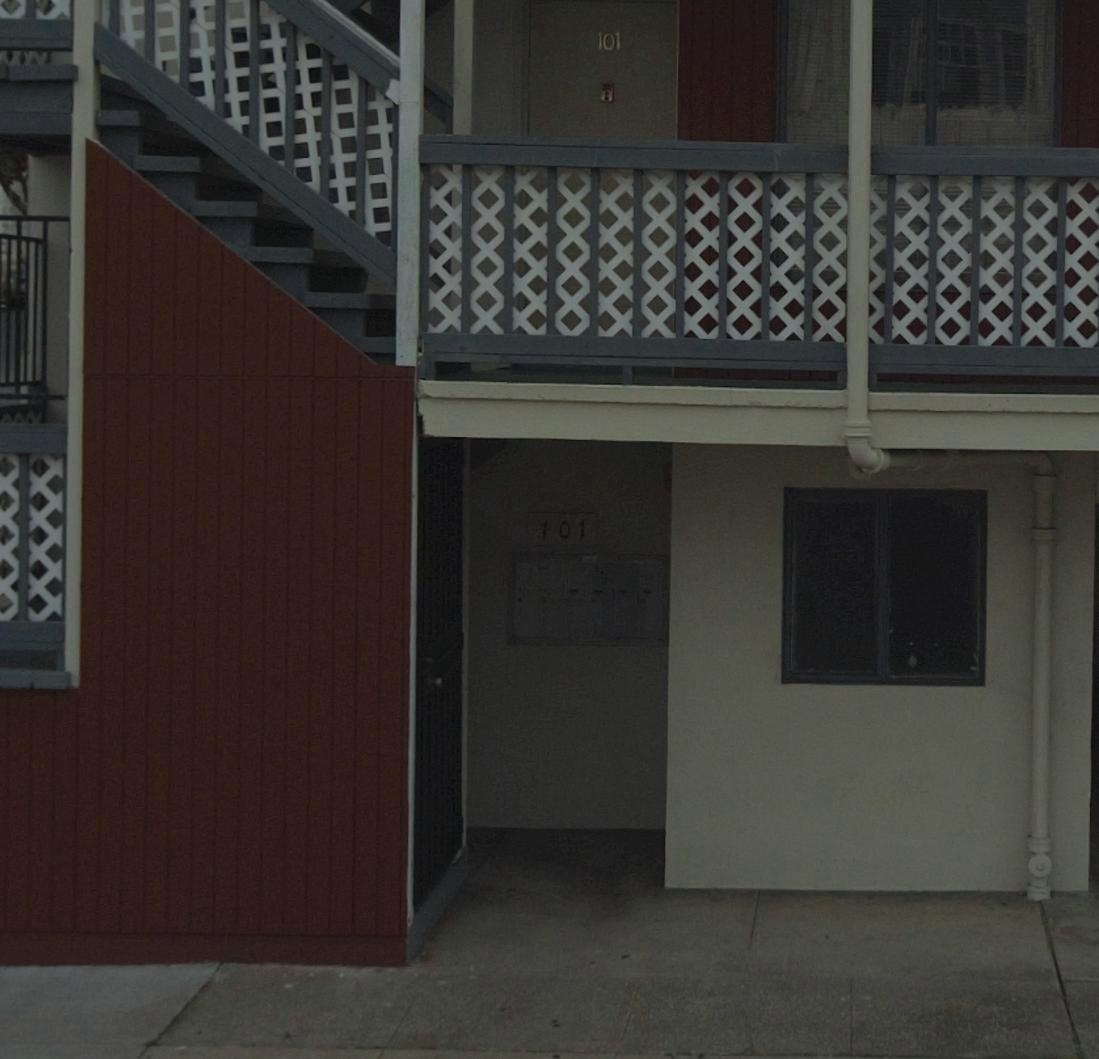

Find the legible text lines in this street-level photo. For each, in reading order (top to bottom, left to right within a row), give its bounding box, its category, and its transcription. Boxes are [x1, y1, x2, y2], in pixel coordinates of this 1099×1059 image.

[596, 30, 622, 52] StreetNumber: 101
[539, 518, 587, 540] StreetNumber: 101